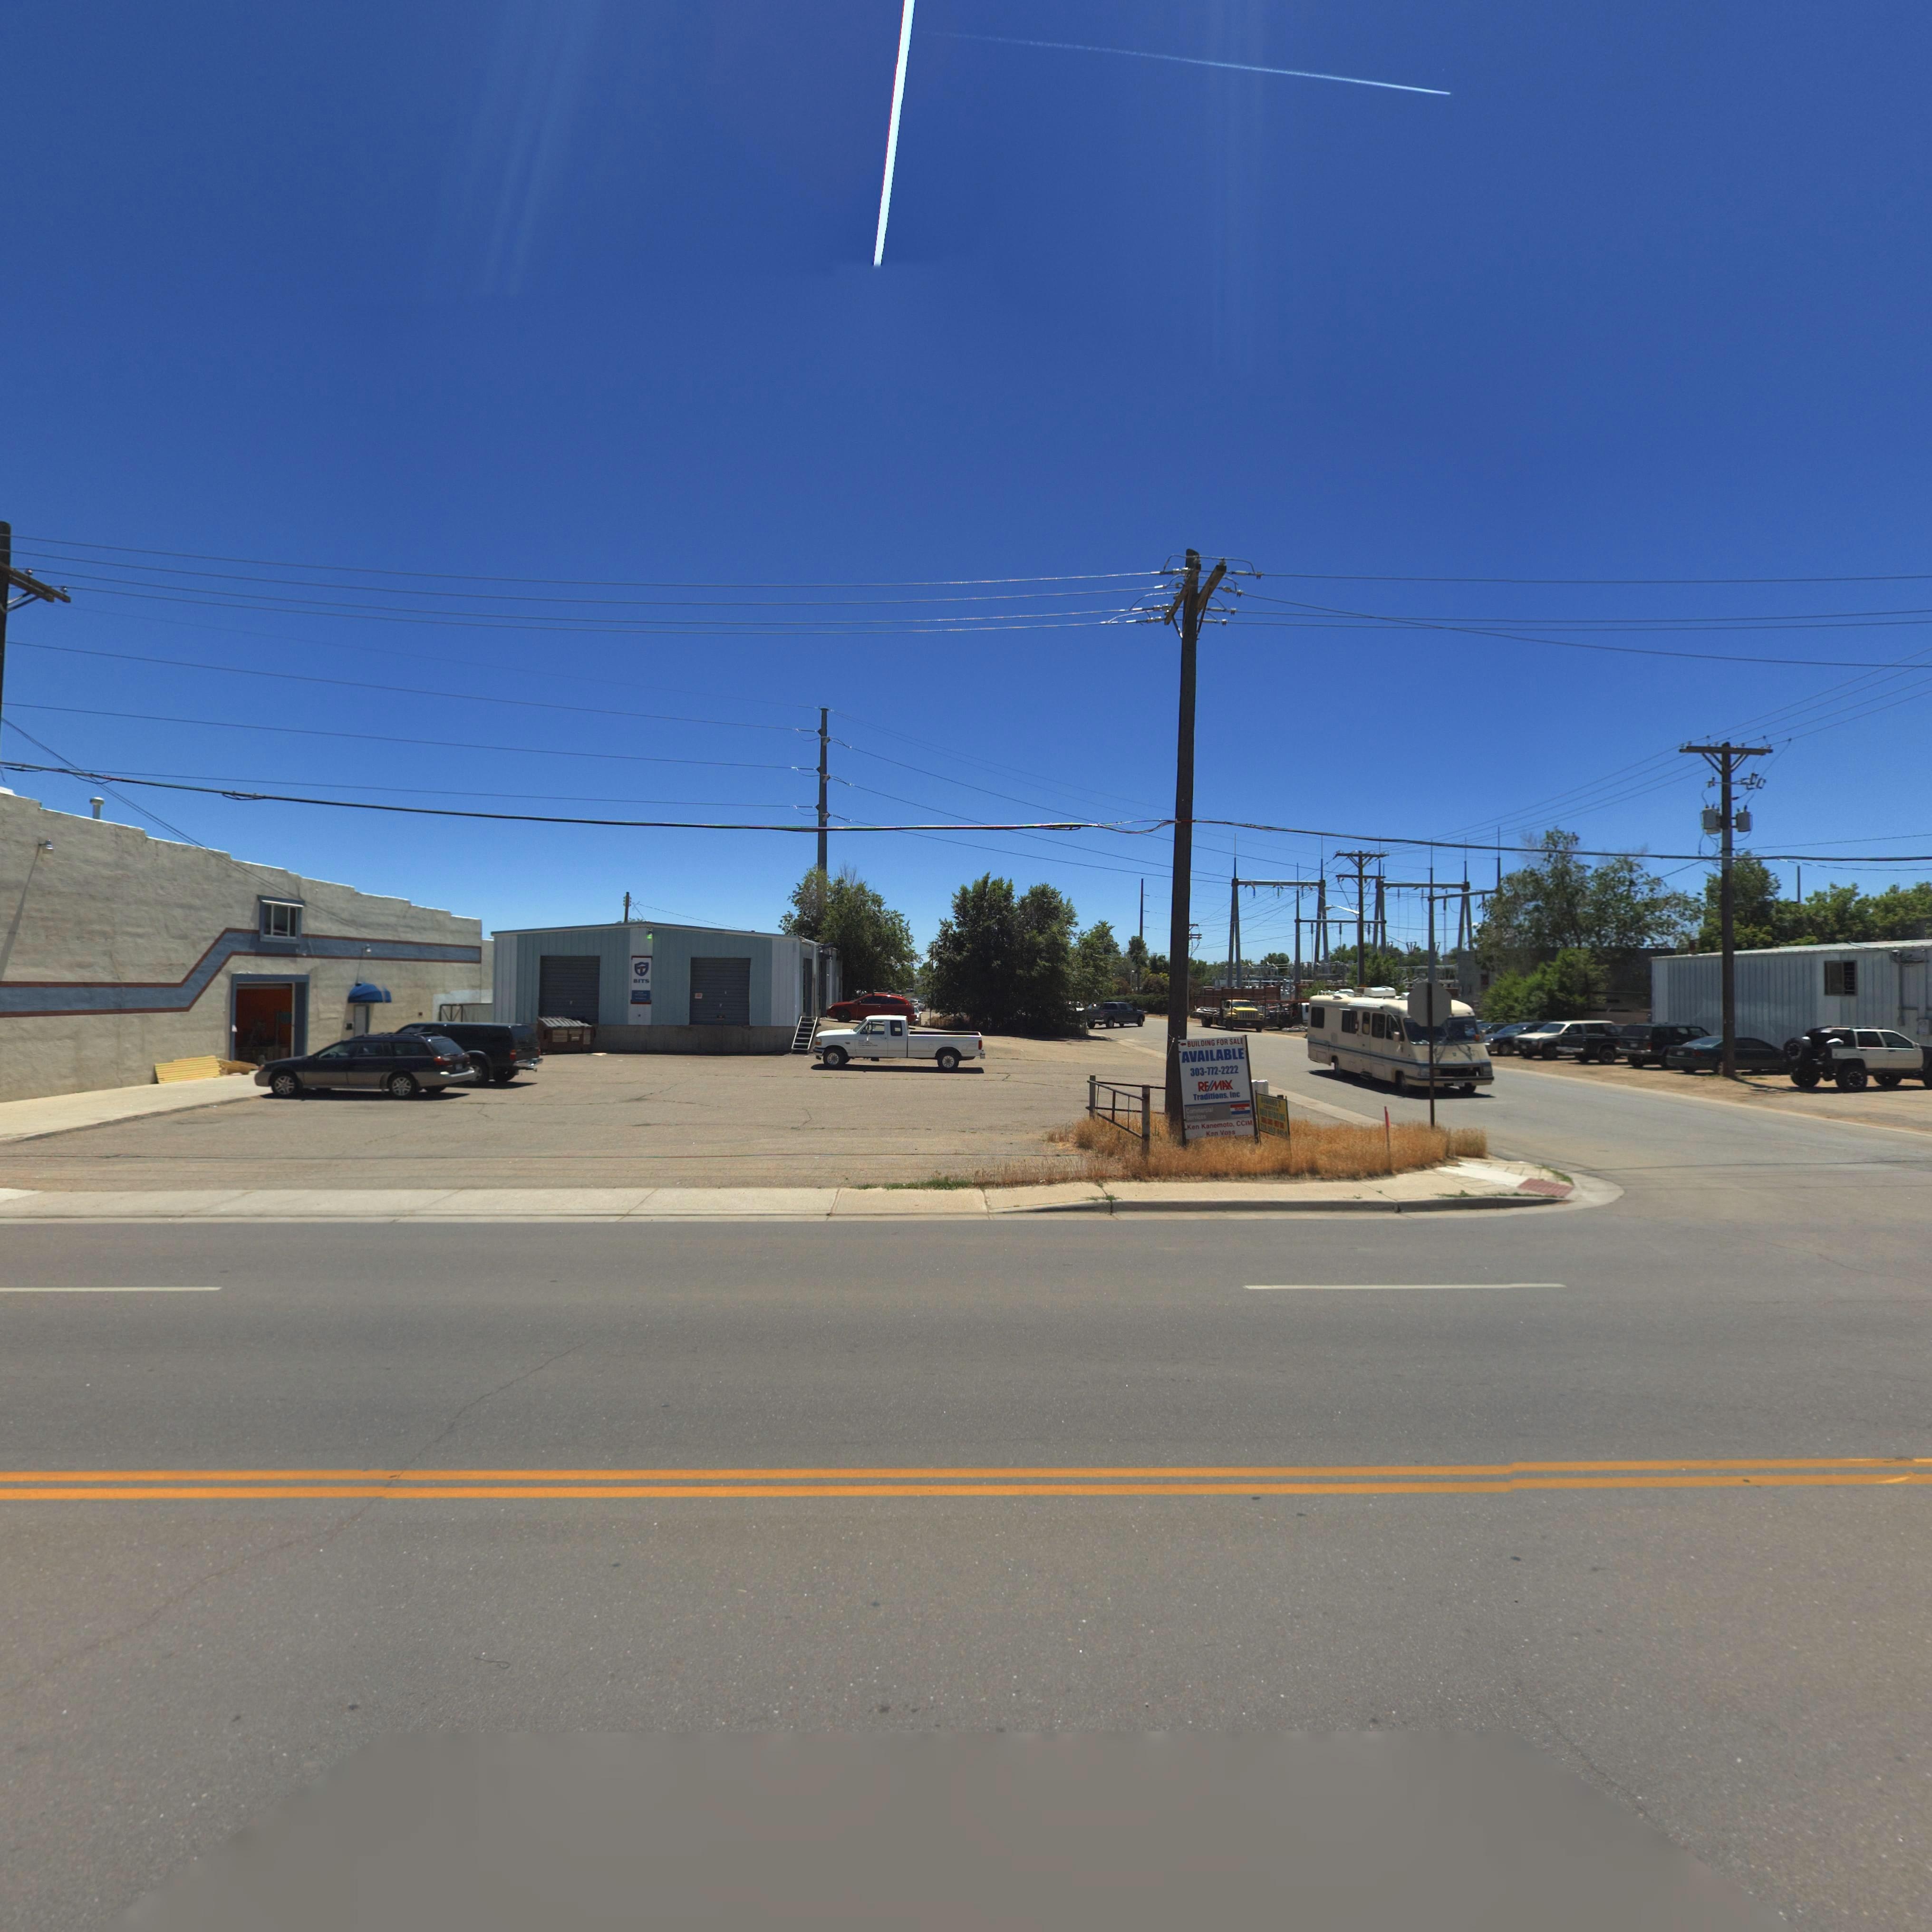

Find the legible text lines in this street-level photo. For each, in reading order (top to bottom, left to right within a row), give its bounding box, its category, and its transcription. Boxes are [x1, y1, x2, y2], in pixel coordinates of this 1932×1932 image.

[633, 978, 649, 983] BusinessName: BITS